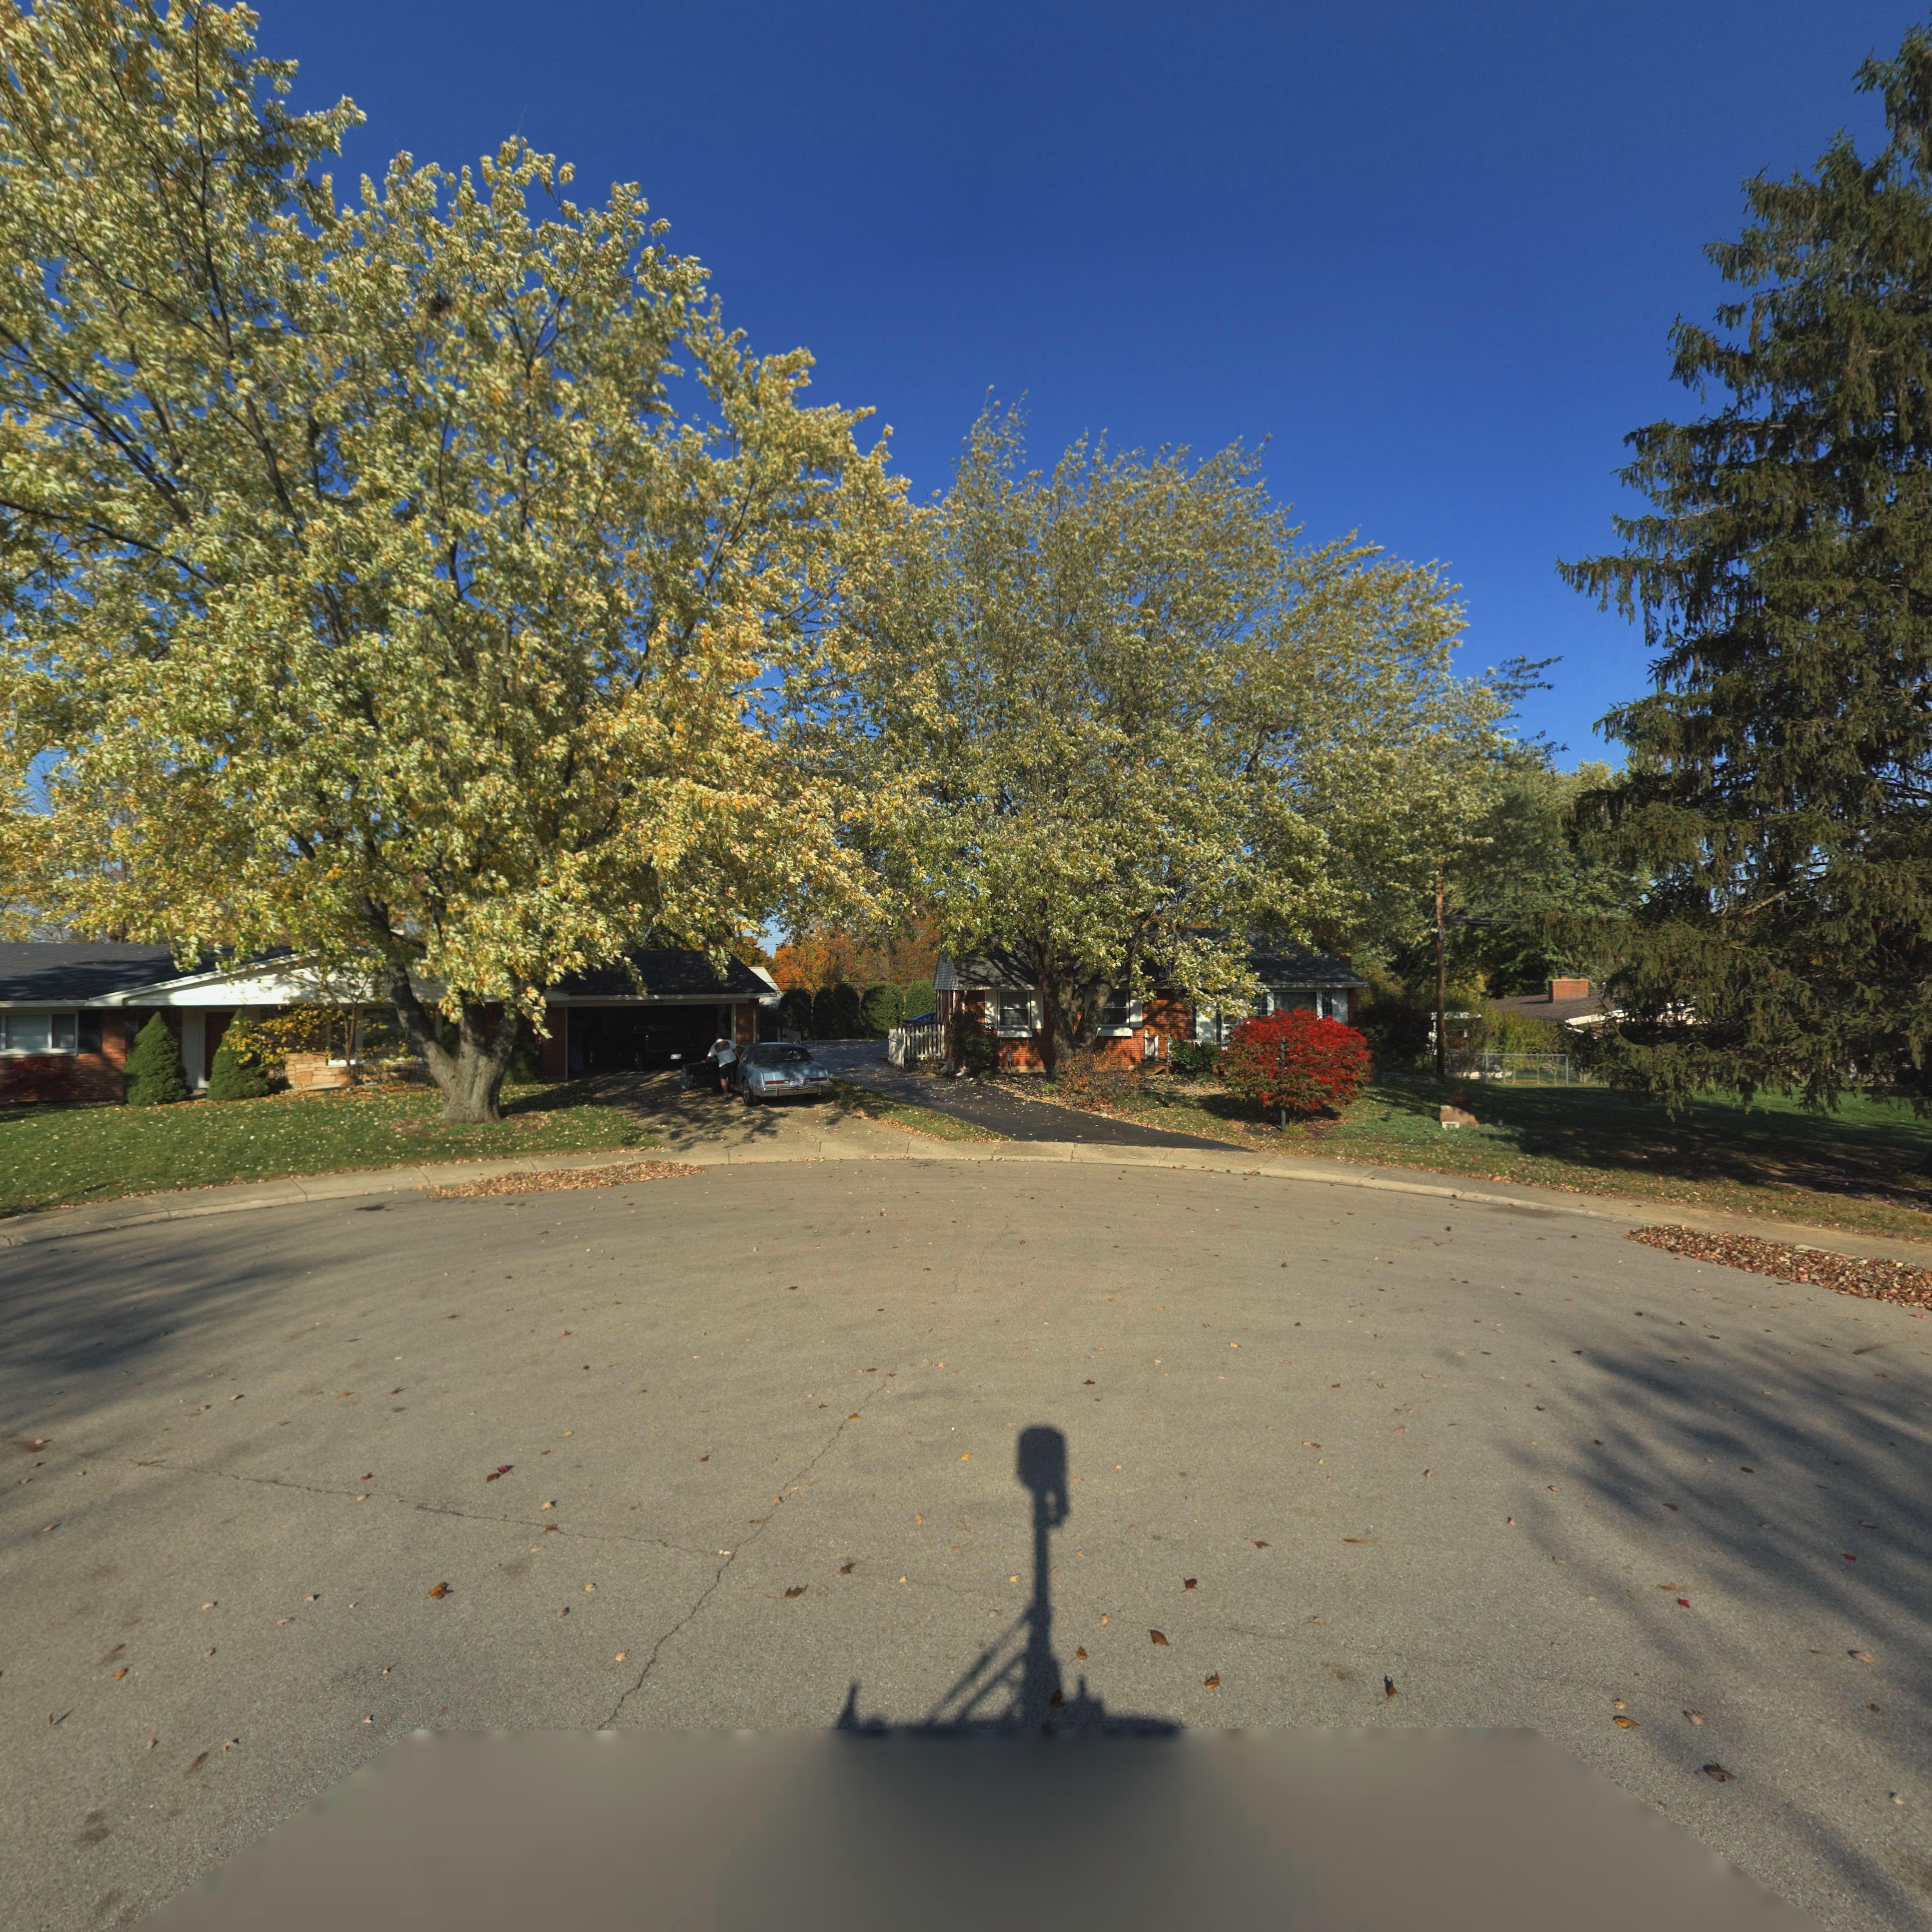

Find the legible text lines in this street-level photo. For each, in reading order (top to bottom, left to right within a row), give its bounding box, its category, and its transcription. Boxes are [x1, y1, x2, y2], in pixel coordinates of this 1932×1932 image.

[649, 1000, 663, 1005] StreetNumber: 300*